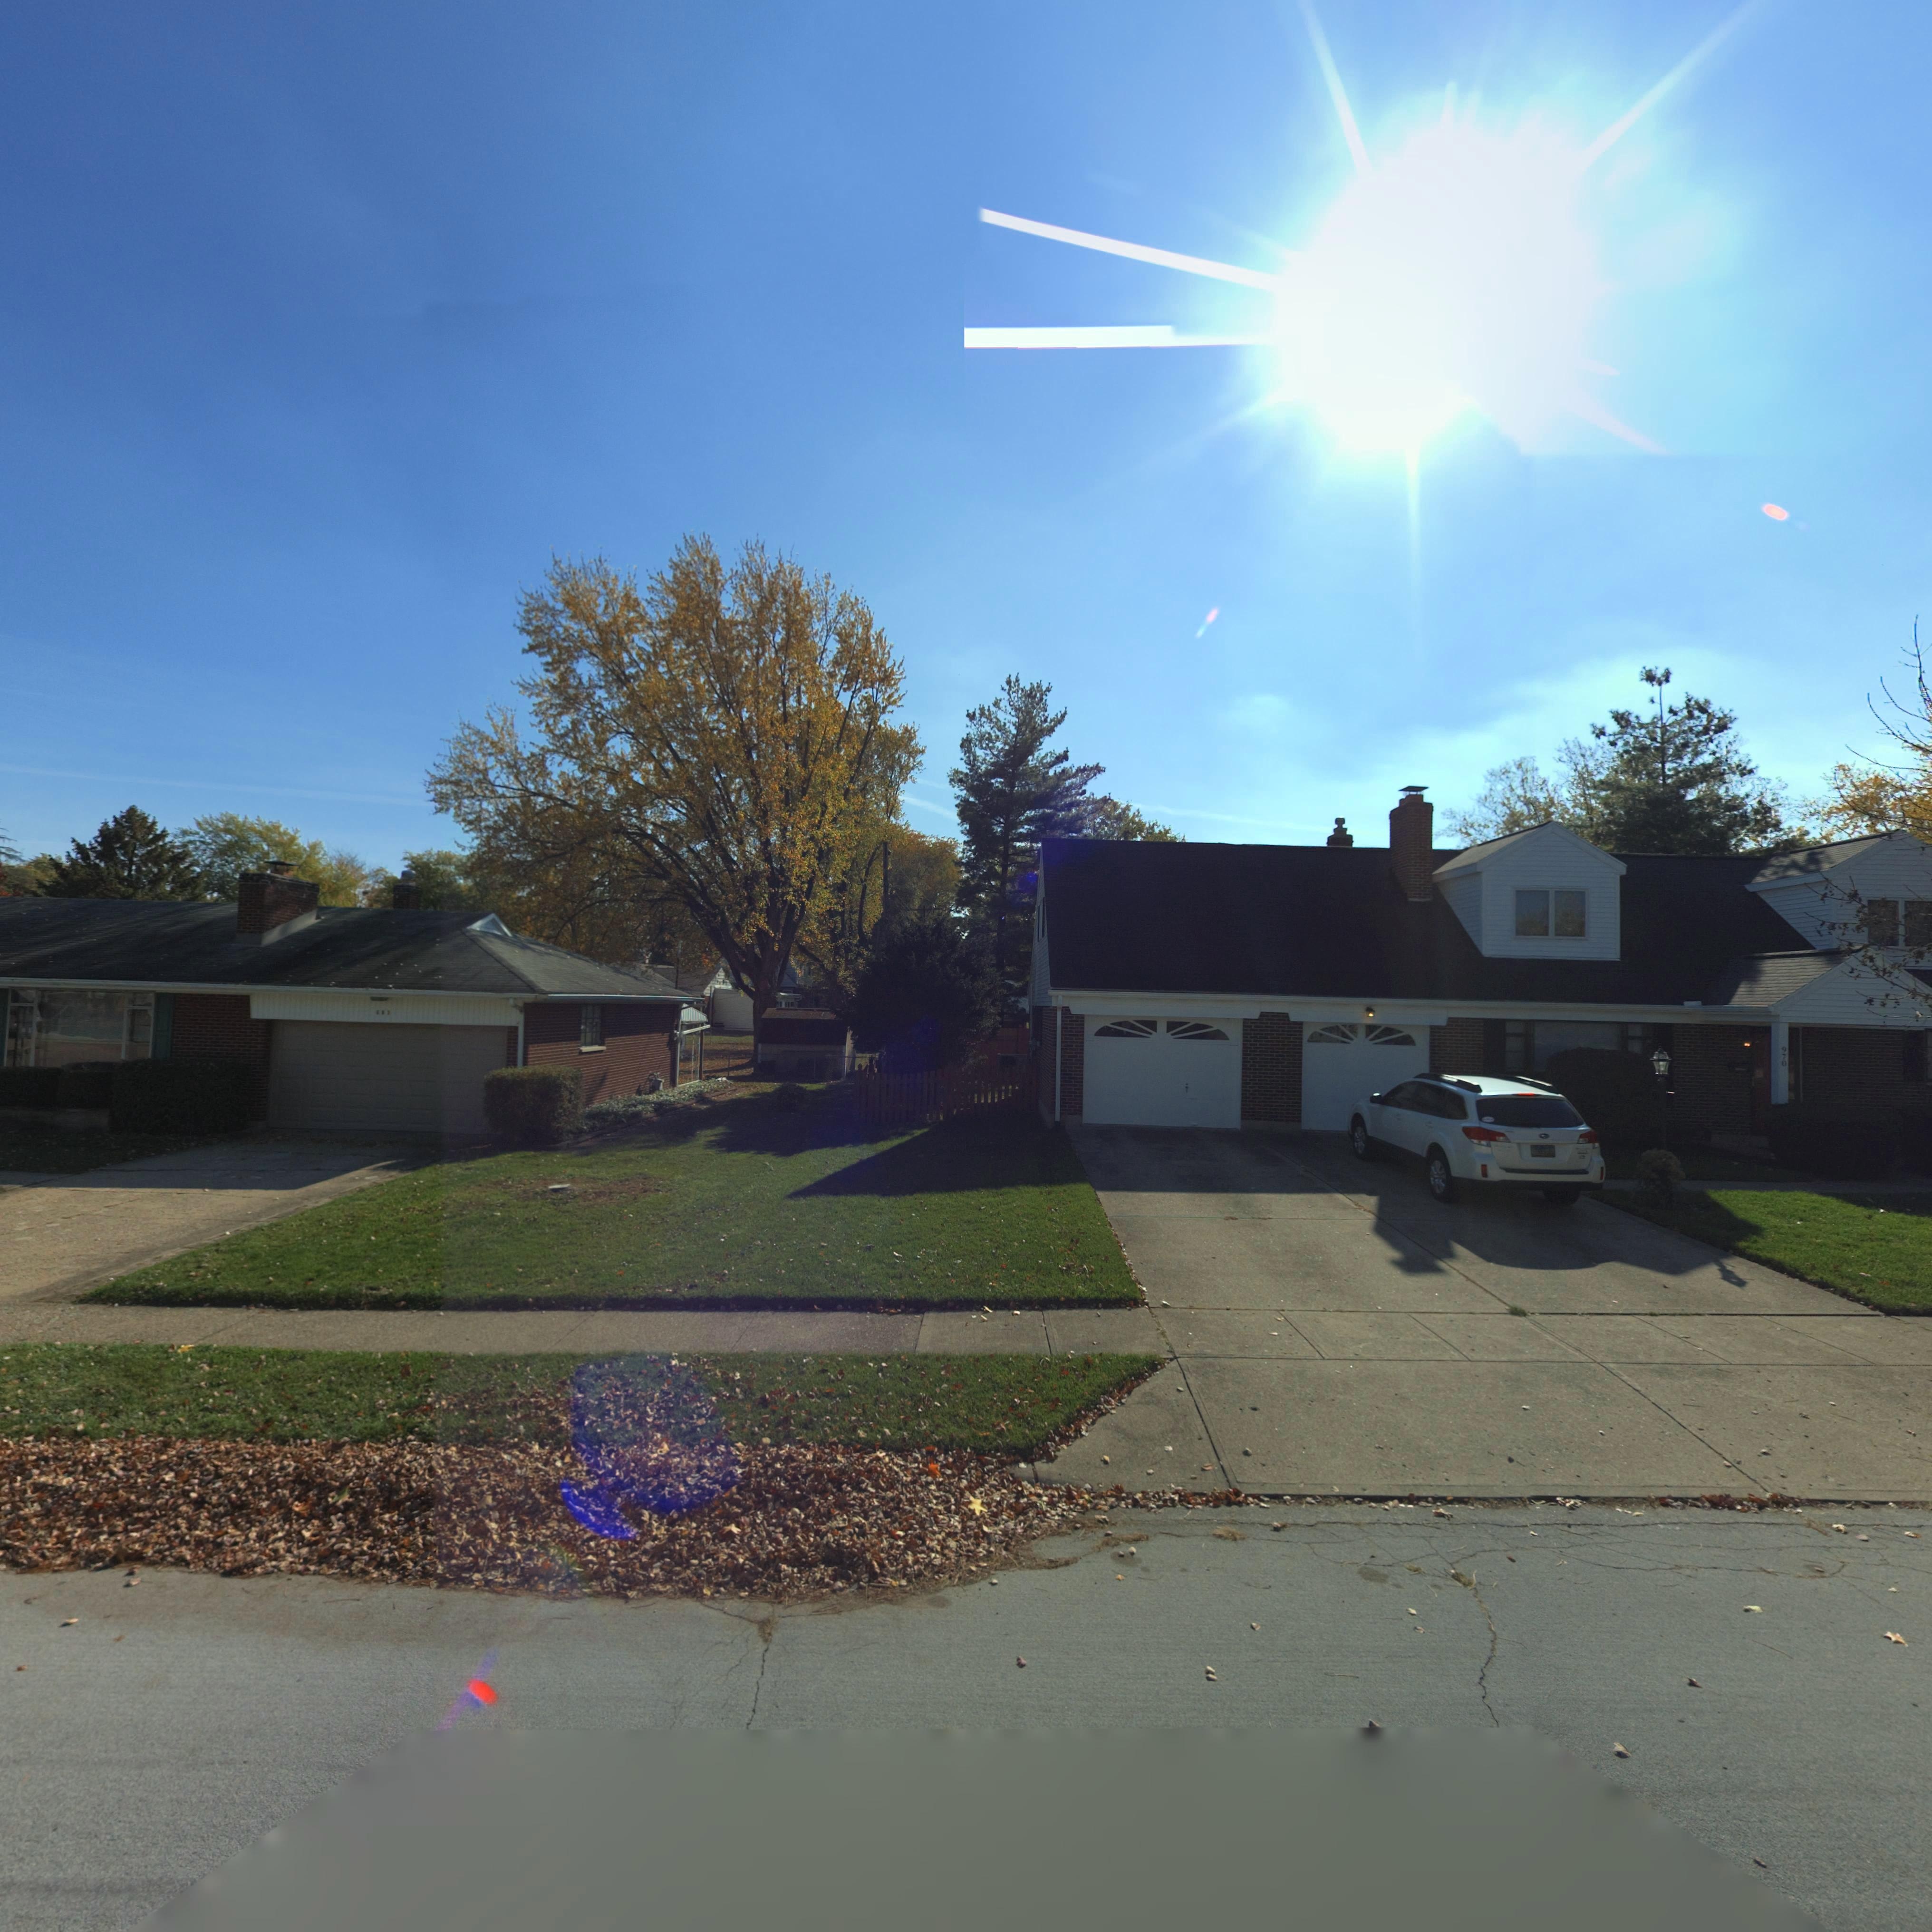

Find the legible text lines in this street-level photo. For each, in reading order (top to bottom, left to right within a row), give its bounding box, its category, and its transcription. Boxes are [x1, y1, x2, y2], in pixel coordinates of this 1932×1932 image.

[1780, 1045, 1788, 1068] StreetNumber: 970